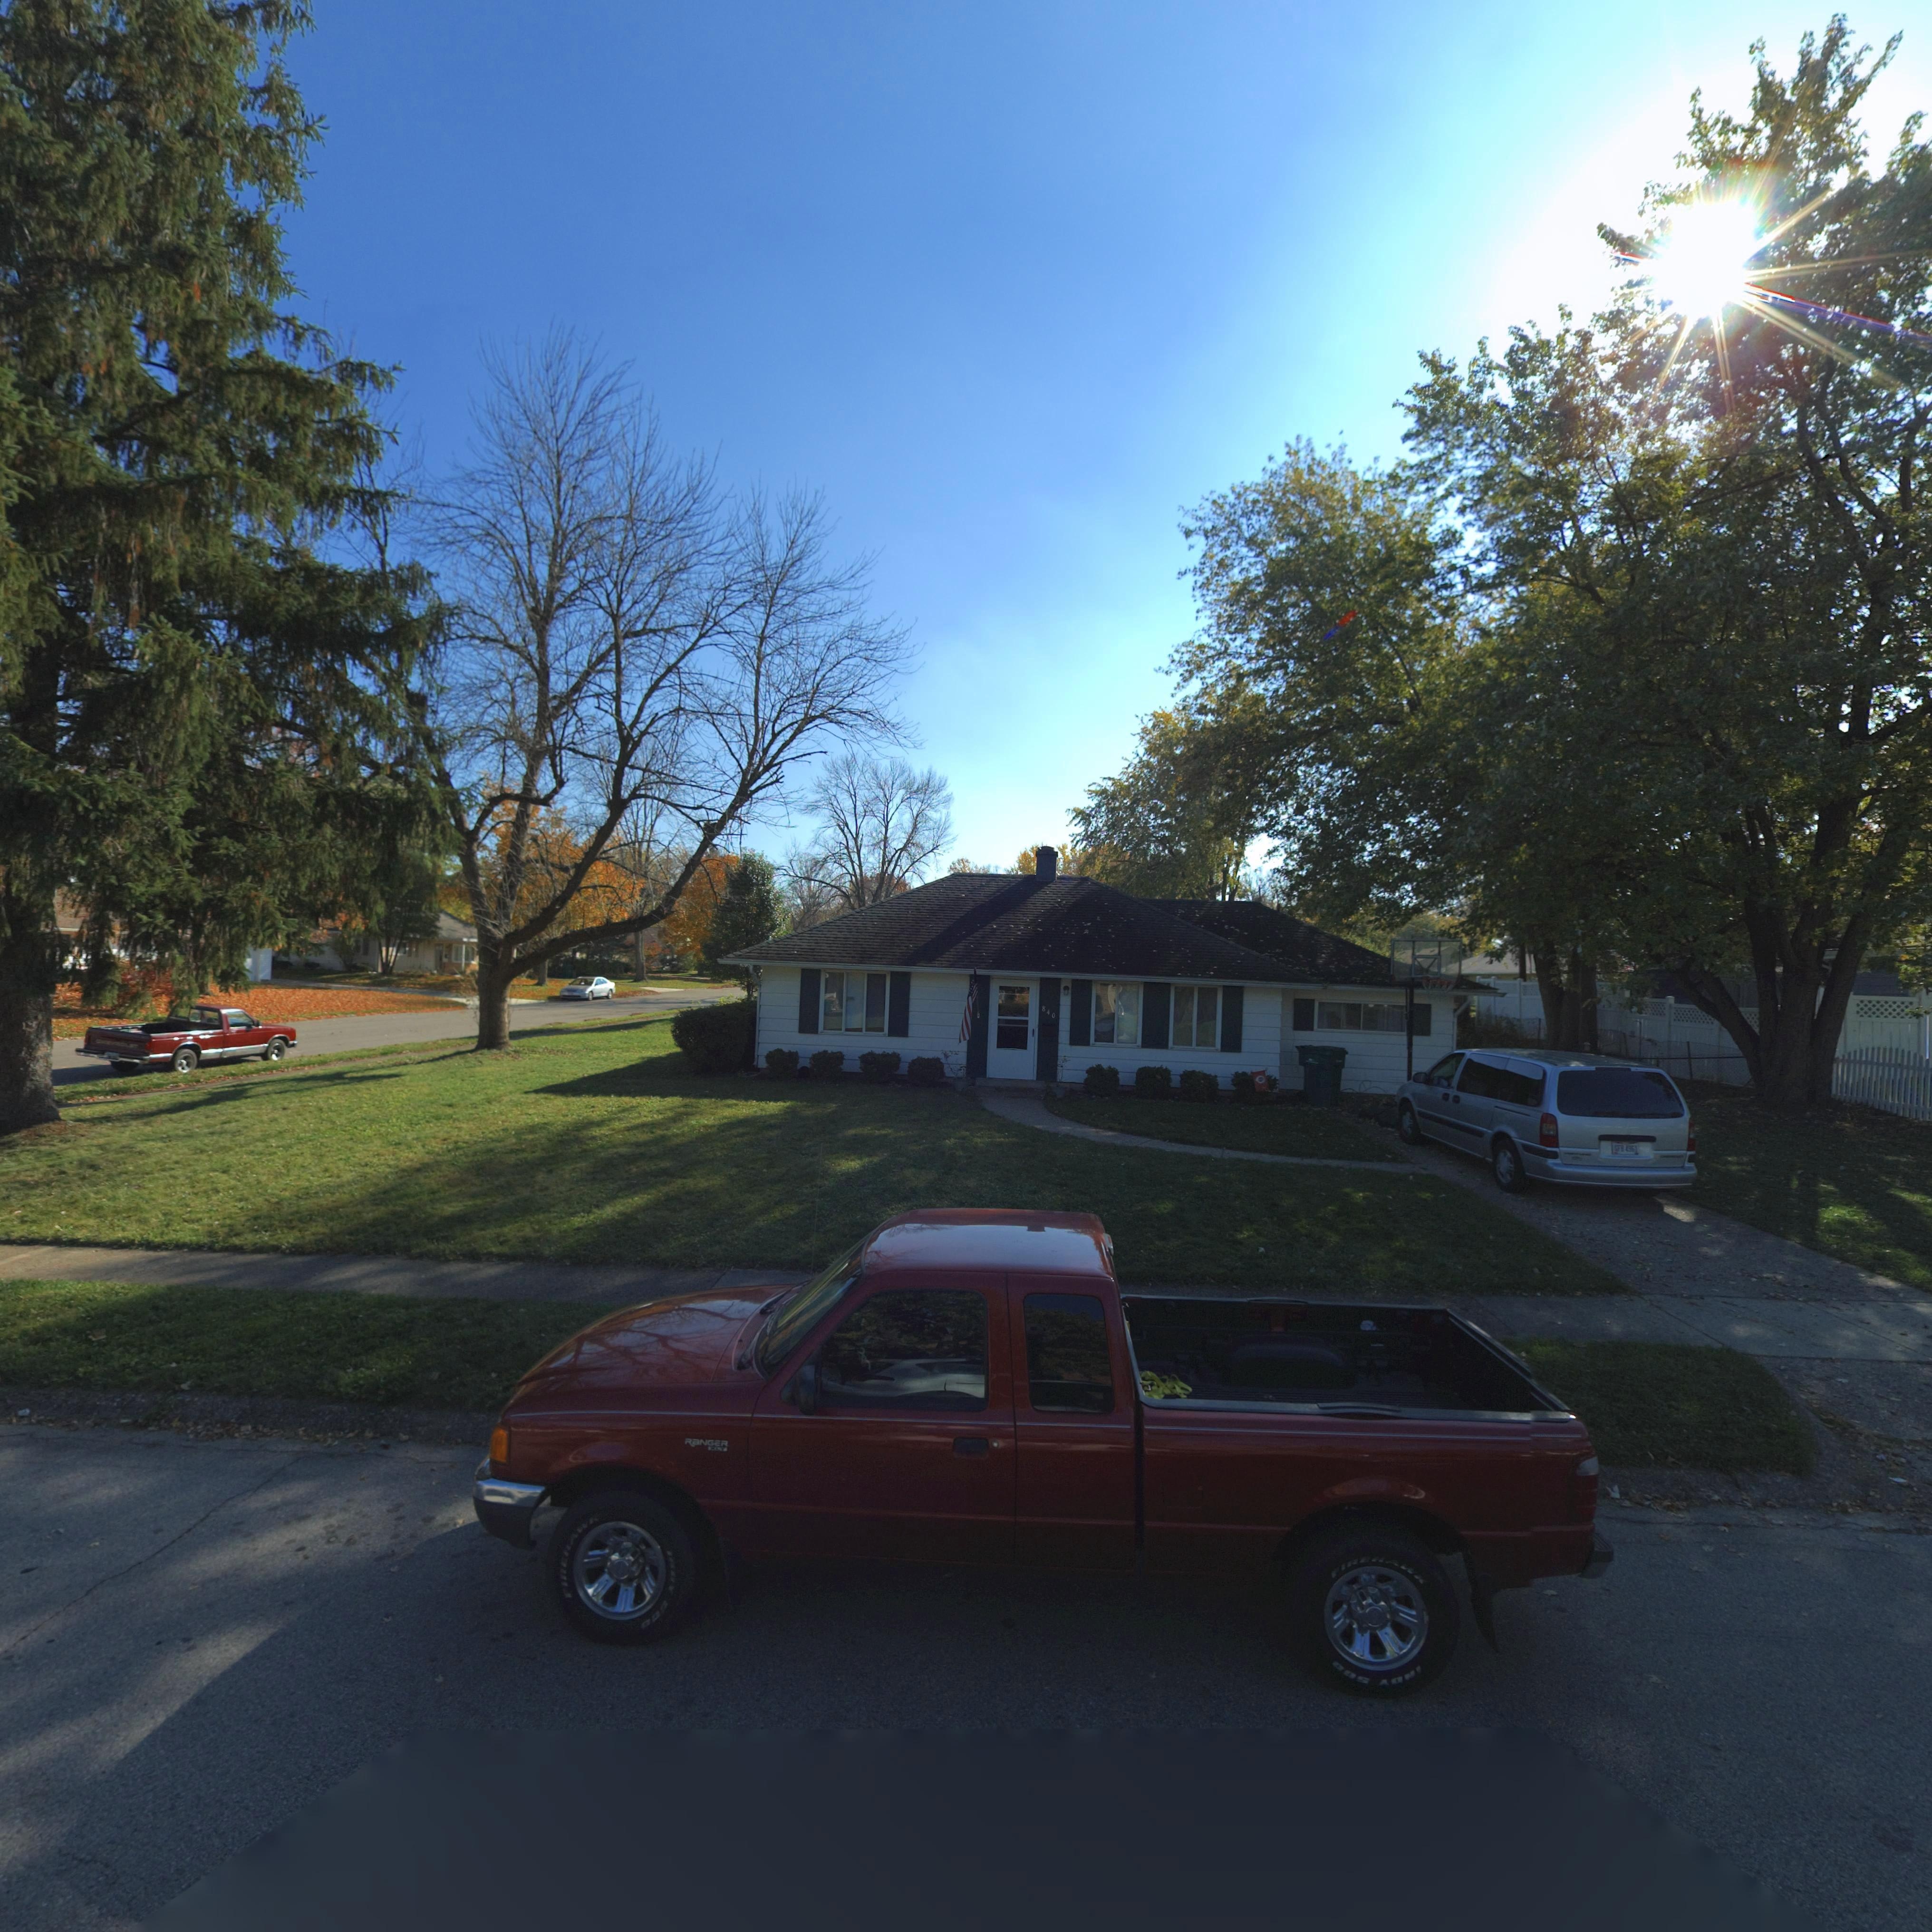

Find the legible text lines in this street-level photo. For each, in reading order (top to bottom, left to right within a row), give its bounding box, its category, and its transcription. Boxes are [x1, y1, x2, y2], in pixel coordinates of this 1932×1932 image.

[1042, 1004, 1055, 1020] StreetNumber: 840
[1614, 1144, 1637, 1152] StreetNumber: GFB 4961
[684, 1437, 729, 1448] None: RaNGER